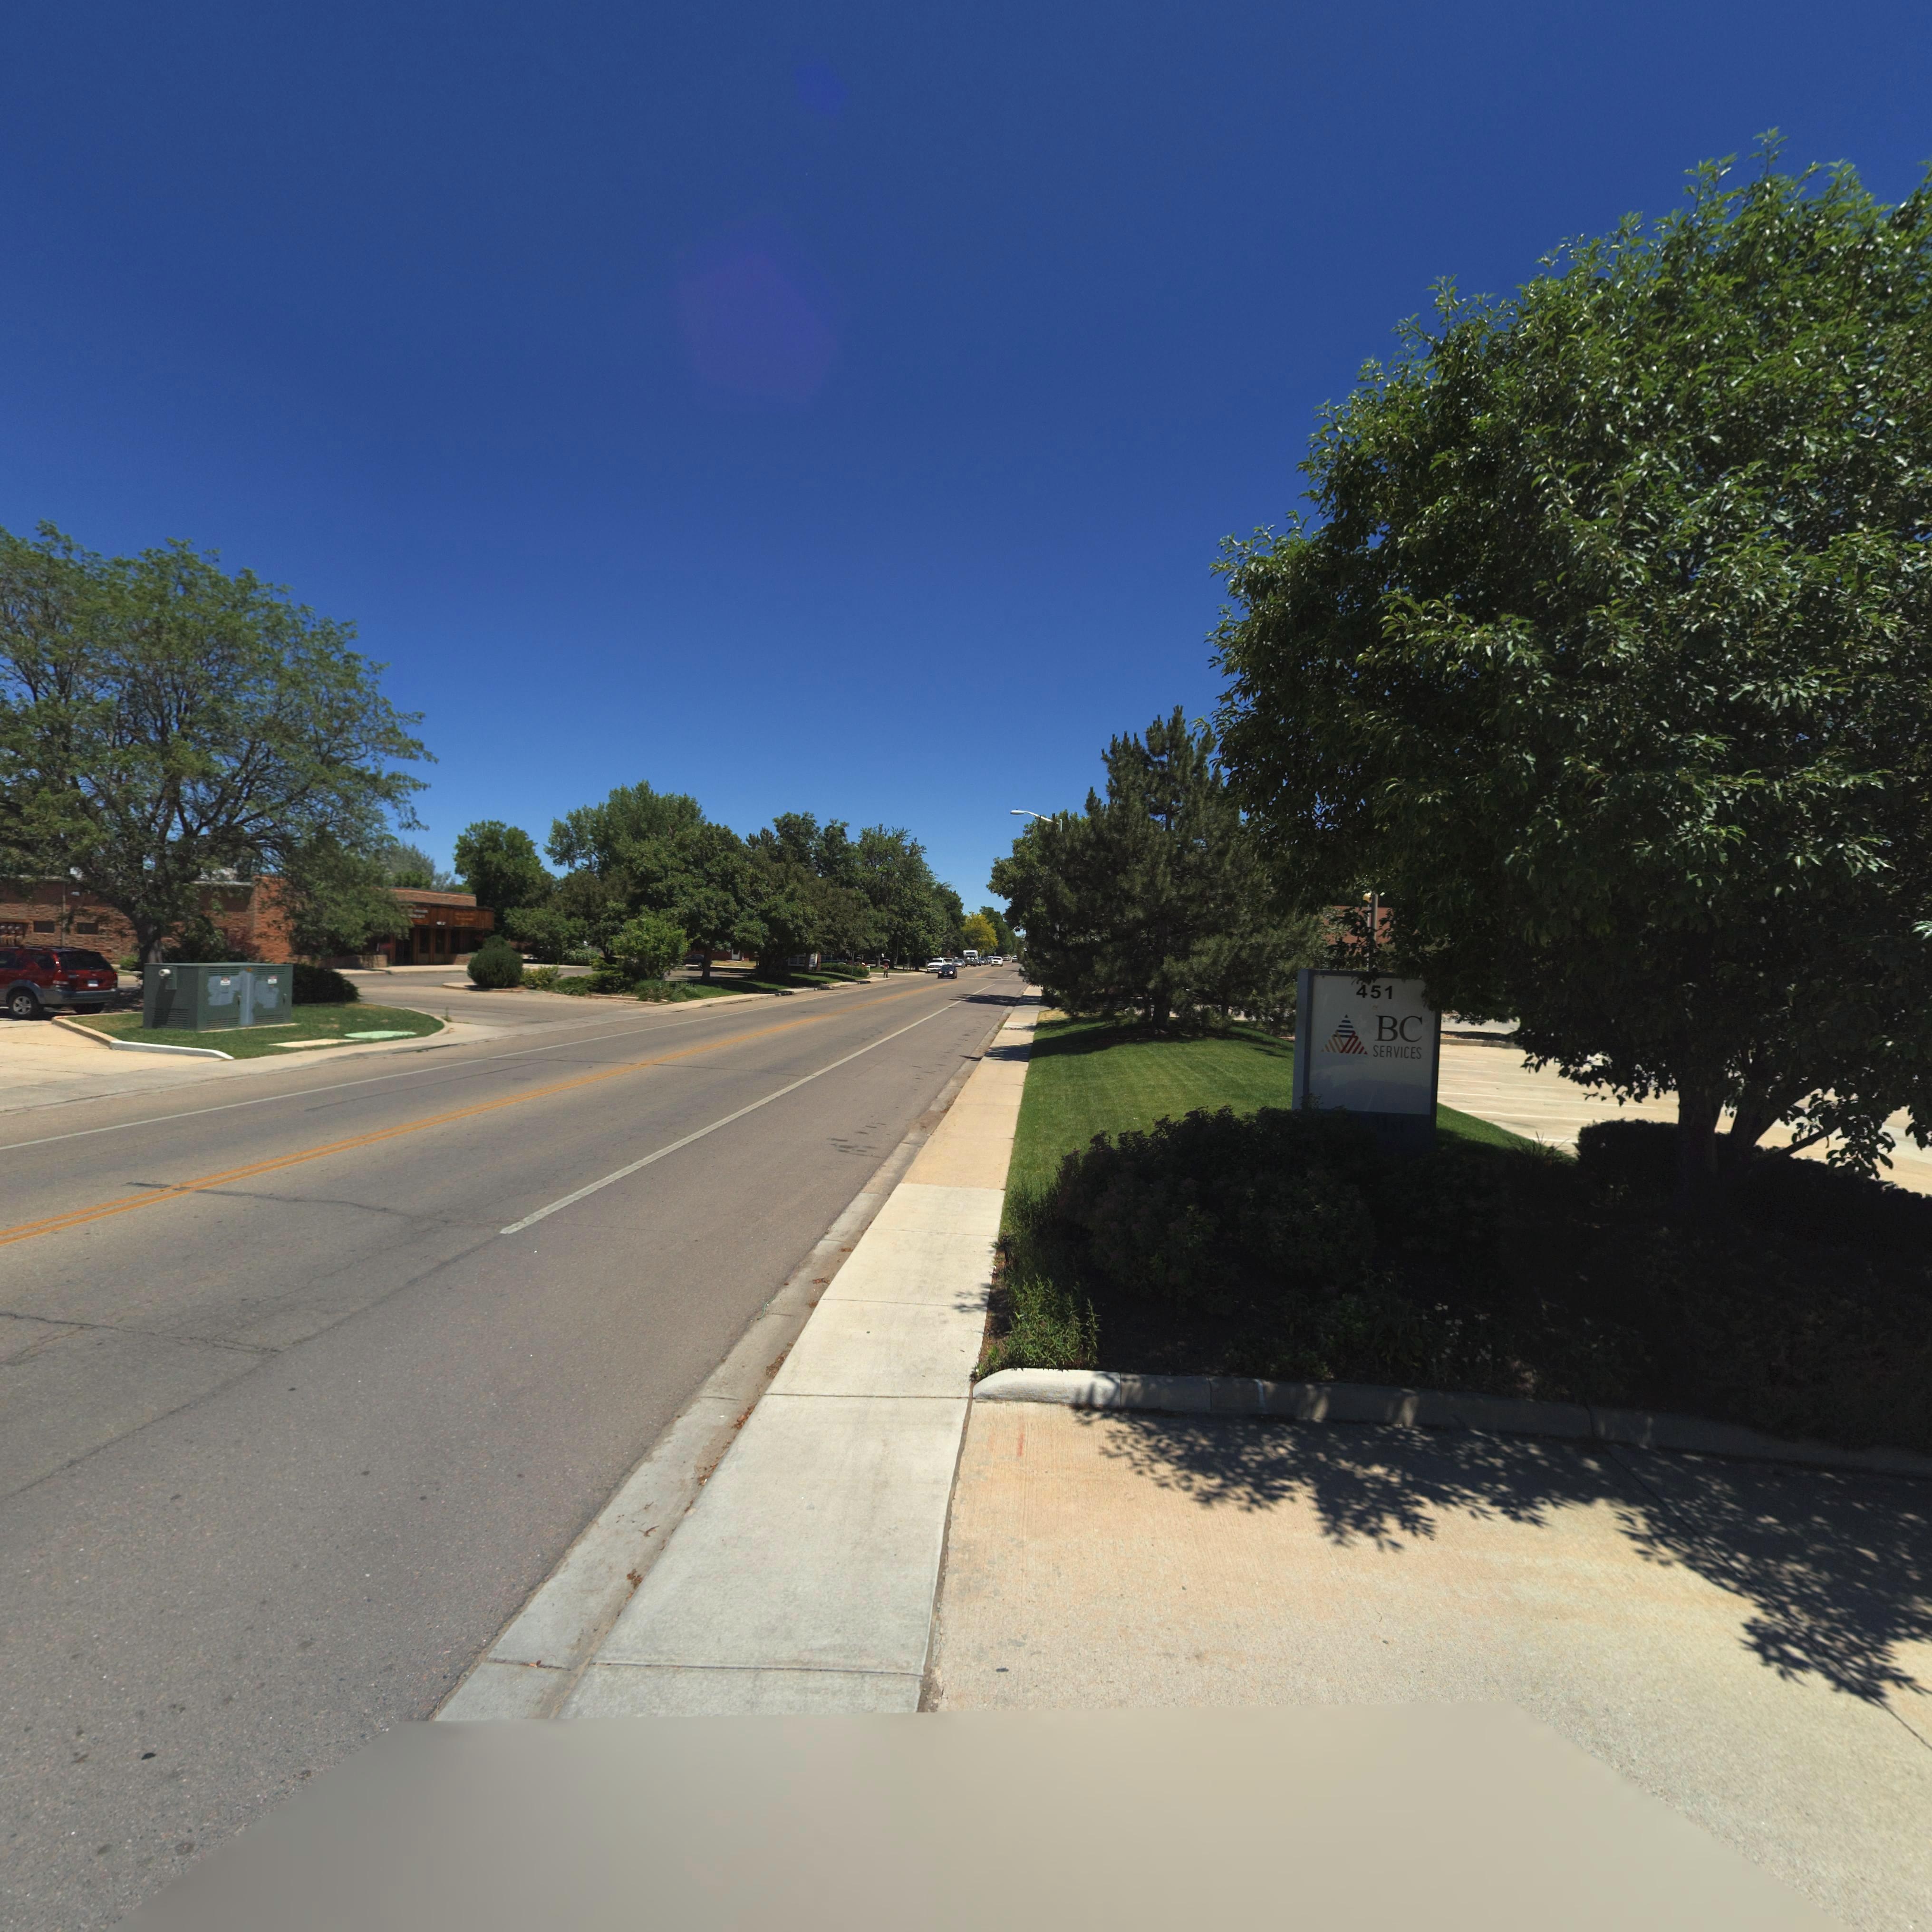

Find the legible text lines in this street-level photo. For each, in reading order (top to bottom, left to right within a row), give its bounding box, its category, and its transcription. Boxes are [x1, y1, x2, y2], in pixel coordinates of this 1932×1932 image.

[1355, 984, 1392, 999] StreetNumber: 451
[1373, 1013, 1423, 1043] BusinessName: BC
[1372, 1044, 1422, 1060] BusinessName: SERVICES